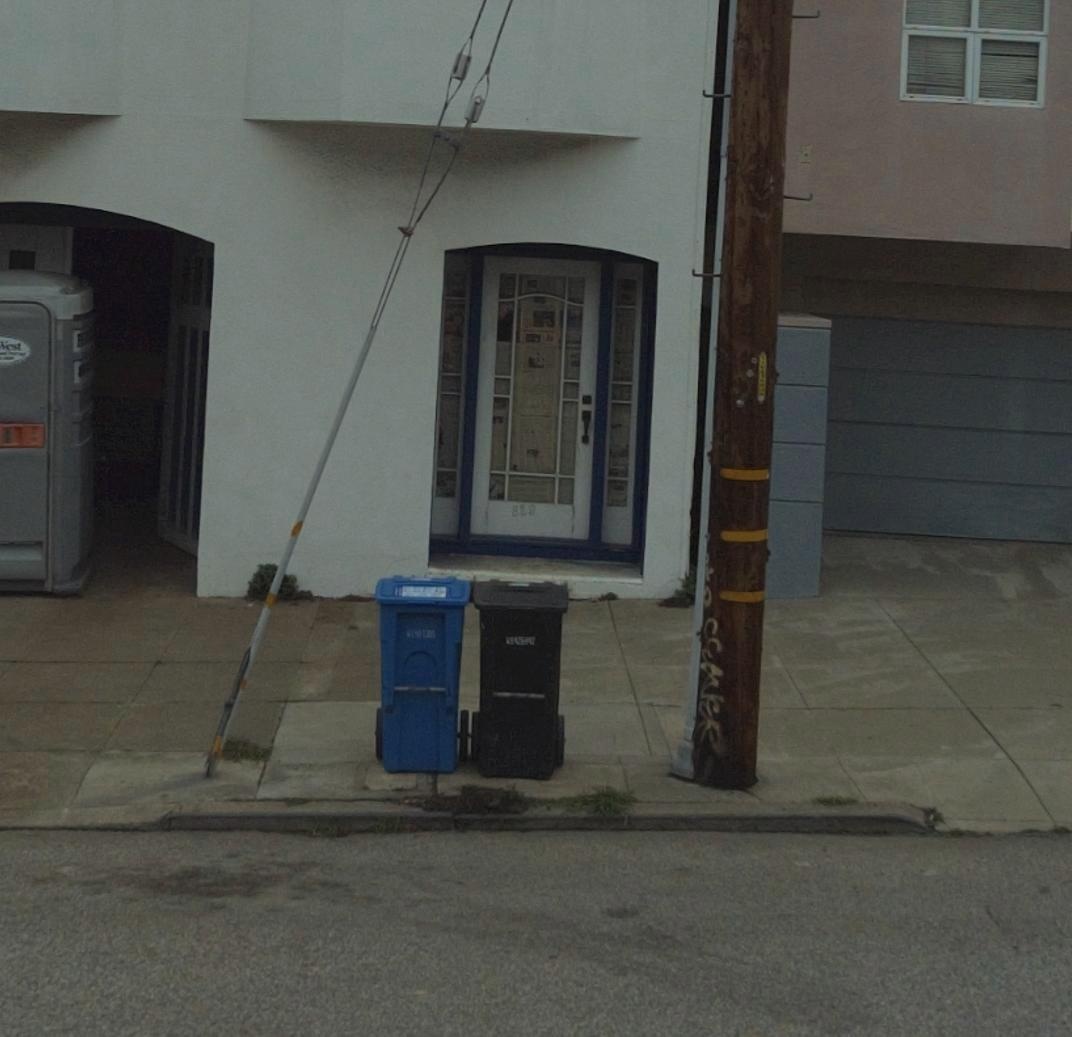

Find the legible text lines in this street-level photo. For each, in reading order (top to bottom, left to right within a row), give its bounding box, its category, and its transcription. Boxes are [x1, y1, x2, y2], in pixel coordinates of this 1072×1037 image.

[511, 503, 536, 517] StreetNumber: 829